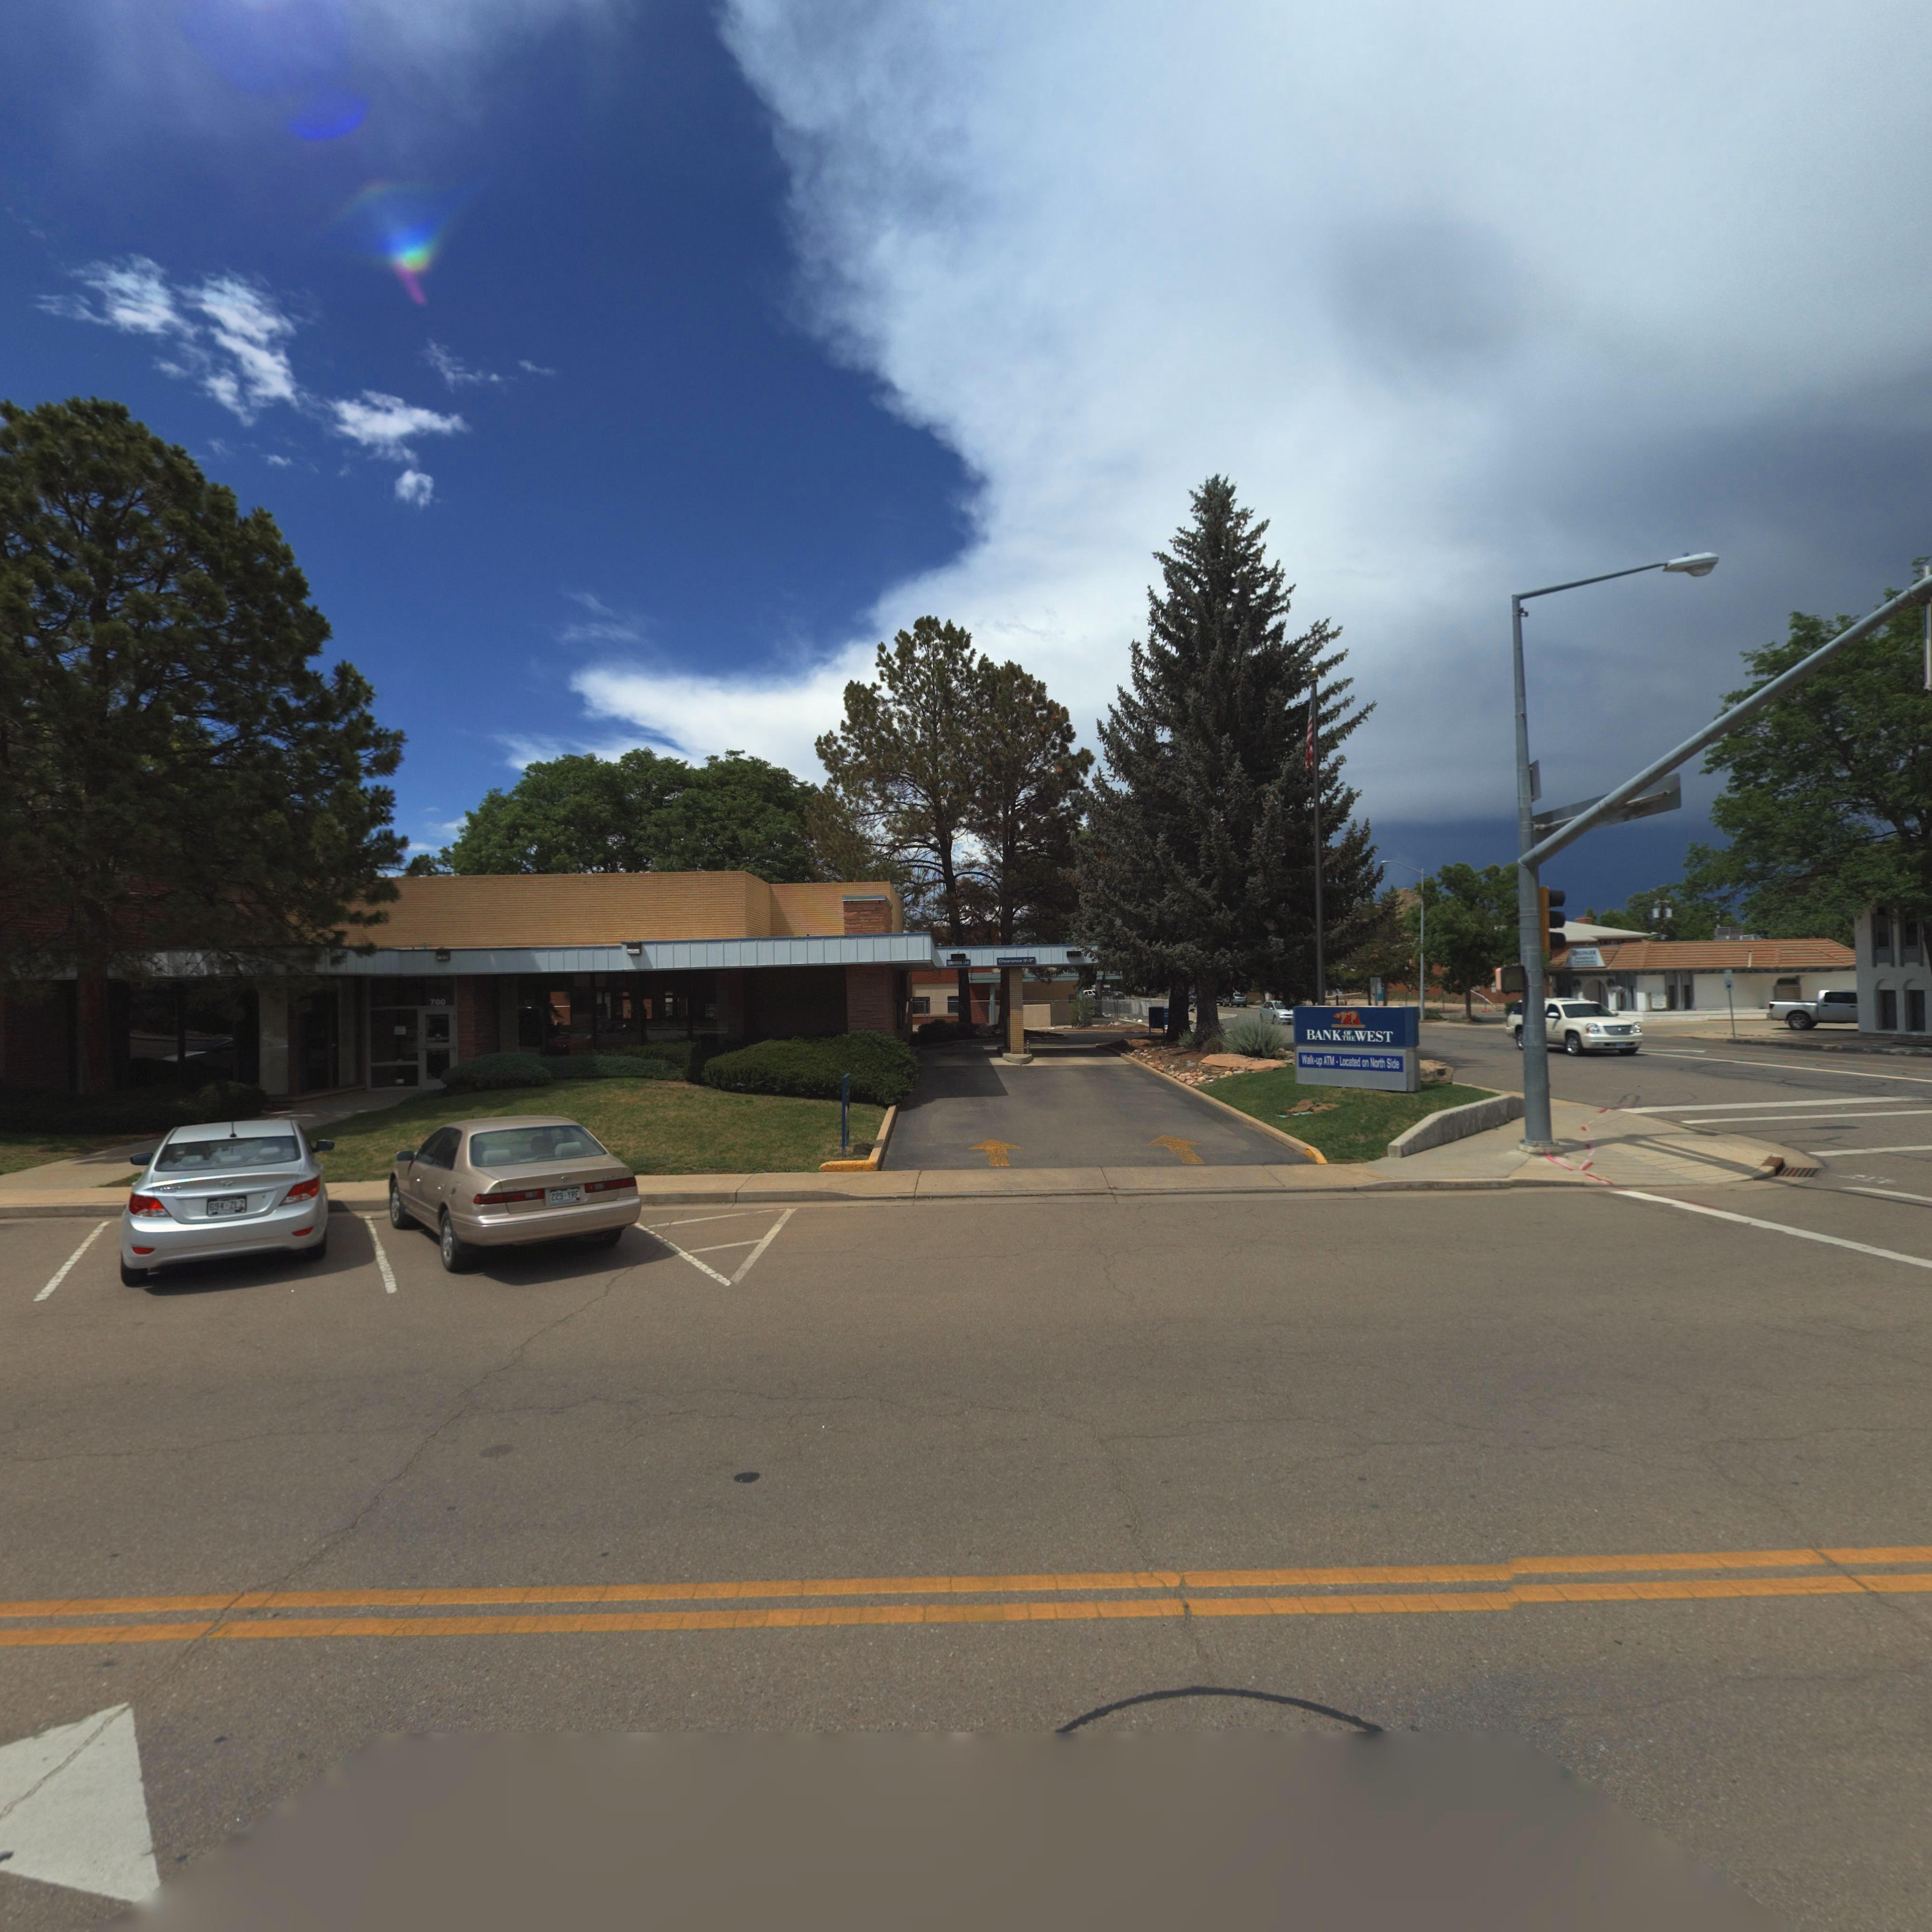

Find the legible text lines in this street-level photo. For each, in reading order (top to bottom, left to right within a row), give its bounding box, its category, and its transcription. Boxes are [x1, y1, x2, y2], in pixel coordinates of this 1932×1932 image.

[429, 998, 445, 1005] StreetNumber: 700
[1306, 1029, 1342, 1040] BusinessName: BANK
[1343, 1030, 1352, 1035] BusinessName: OF
[1341, 1035, 1356, 1041] BusinessName: THE
[1353, 1030, 1393, 1042] BusinessName: WEST